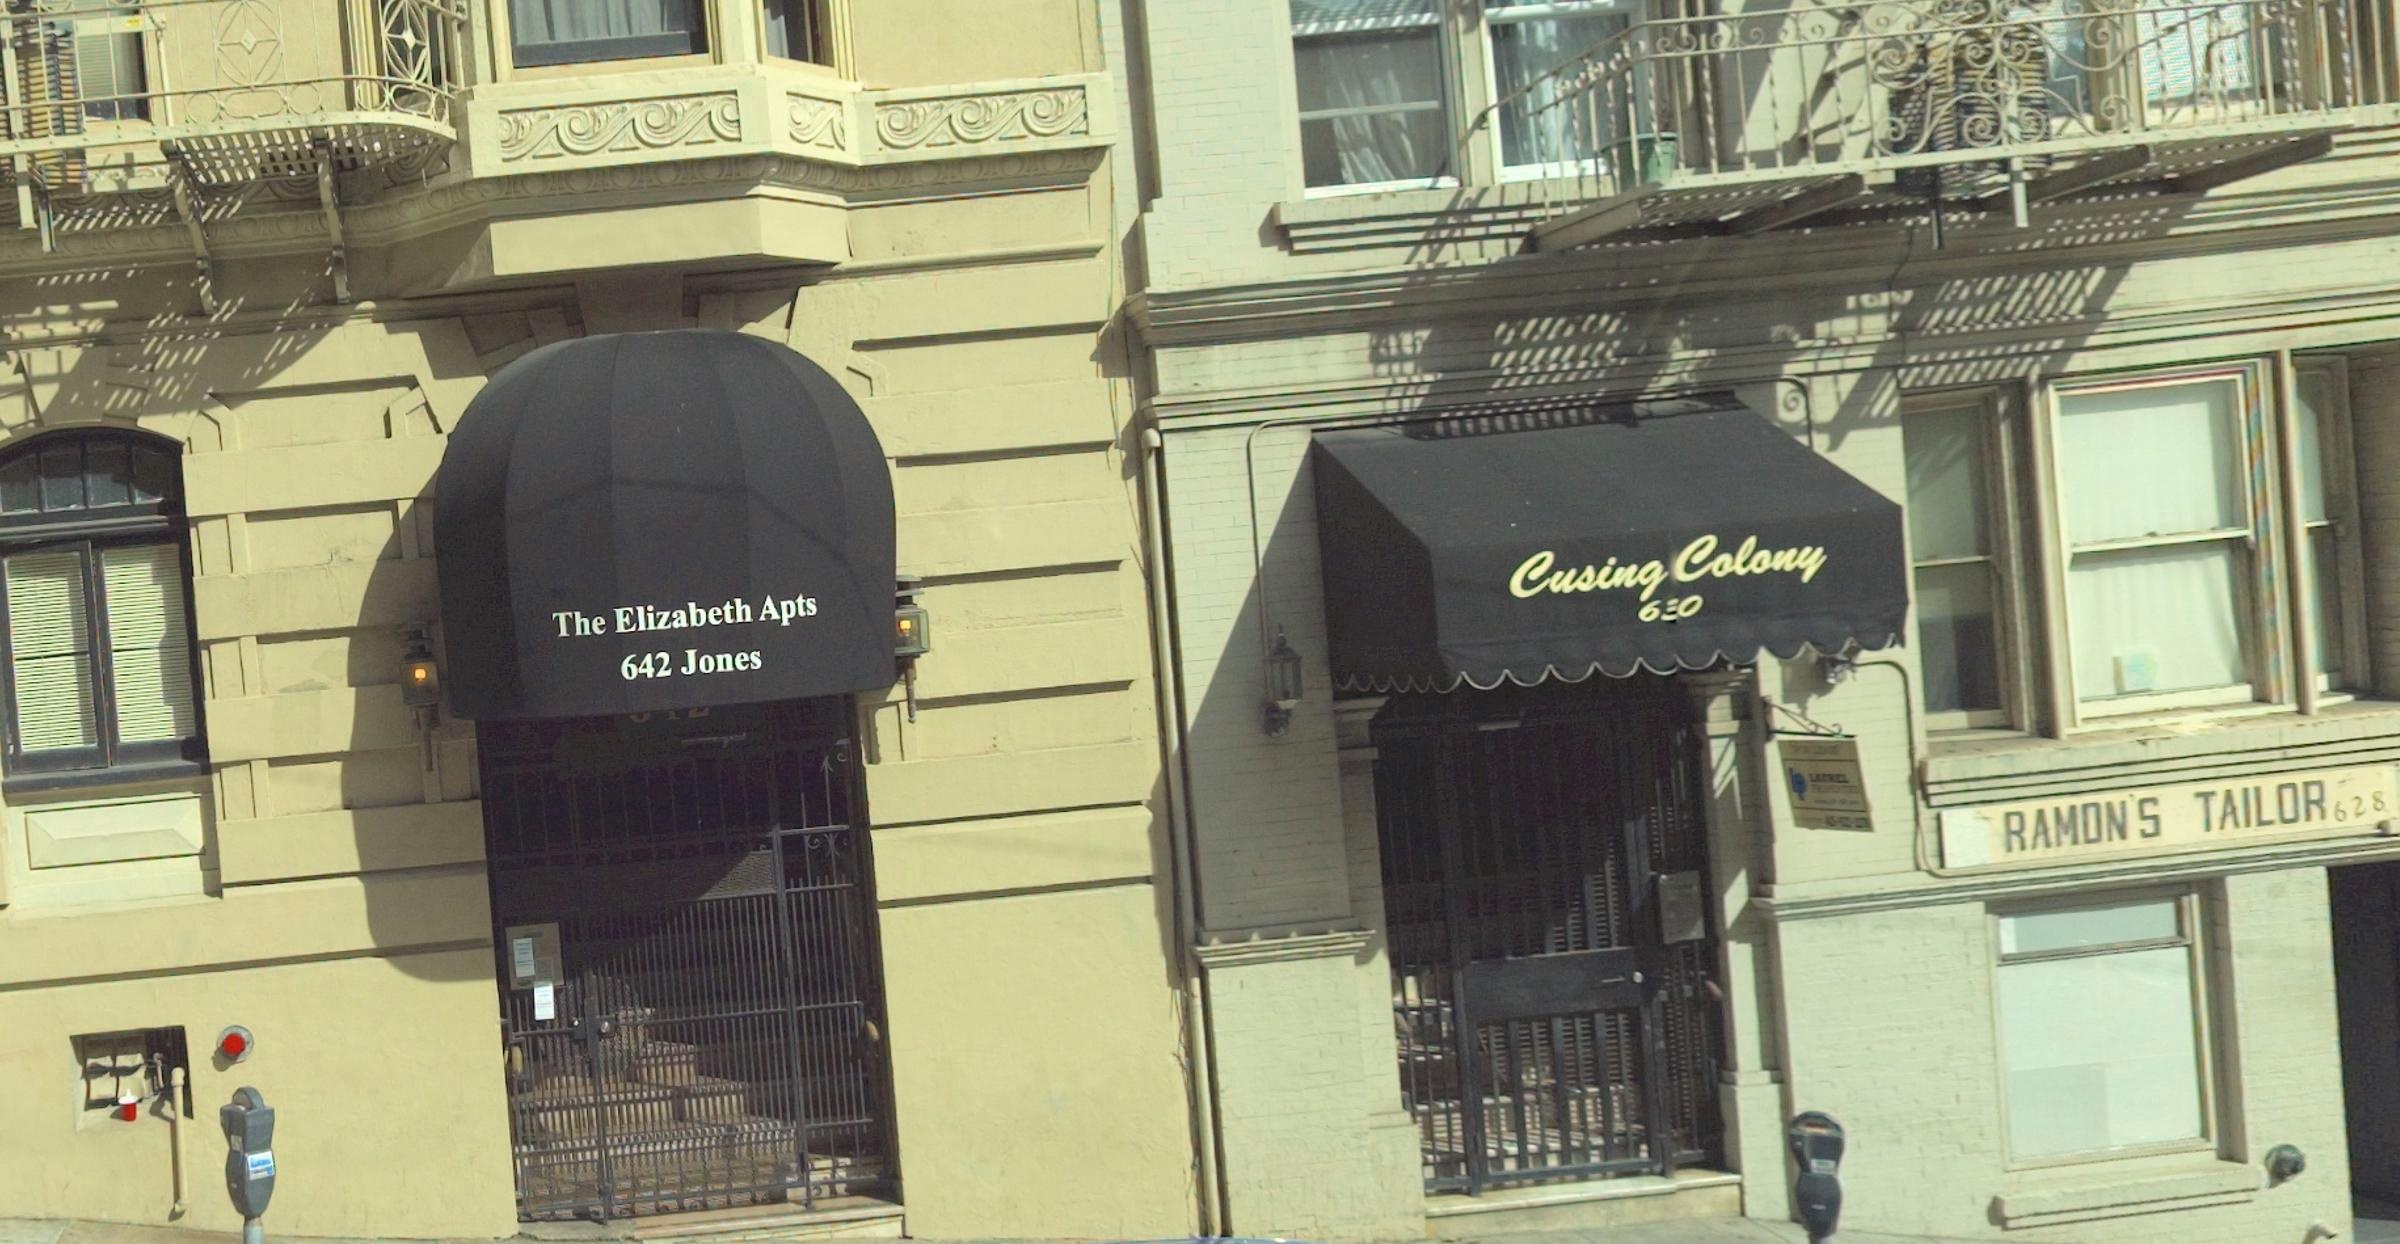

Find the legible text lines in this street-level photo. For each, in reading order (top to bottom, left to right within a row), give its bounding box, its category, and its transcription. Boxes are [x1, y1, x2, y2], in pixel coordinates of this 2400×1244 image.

[1497, 528, 1837, 611] BusinessName: Cusing Colony
[547, 590, 822, 643] BusinessName: The Elizabeth Apts
[1632, 590, 1708, 627] StreetNumber: 6**
[617, 647, 675, 683] StreetNumber: 642
[678, 645, 766, 679] StreetName: Jones
[1998, 776, 2330, 860] BusinessName: RAMON'S TAILOR
[2331, 786, 2389, 825] StreetNumber: 628